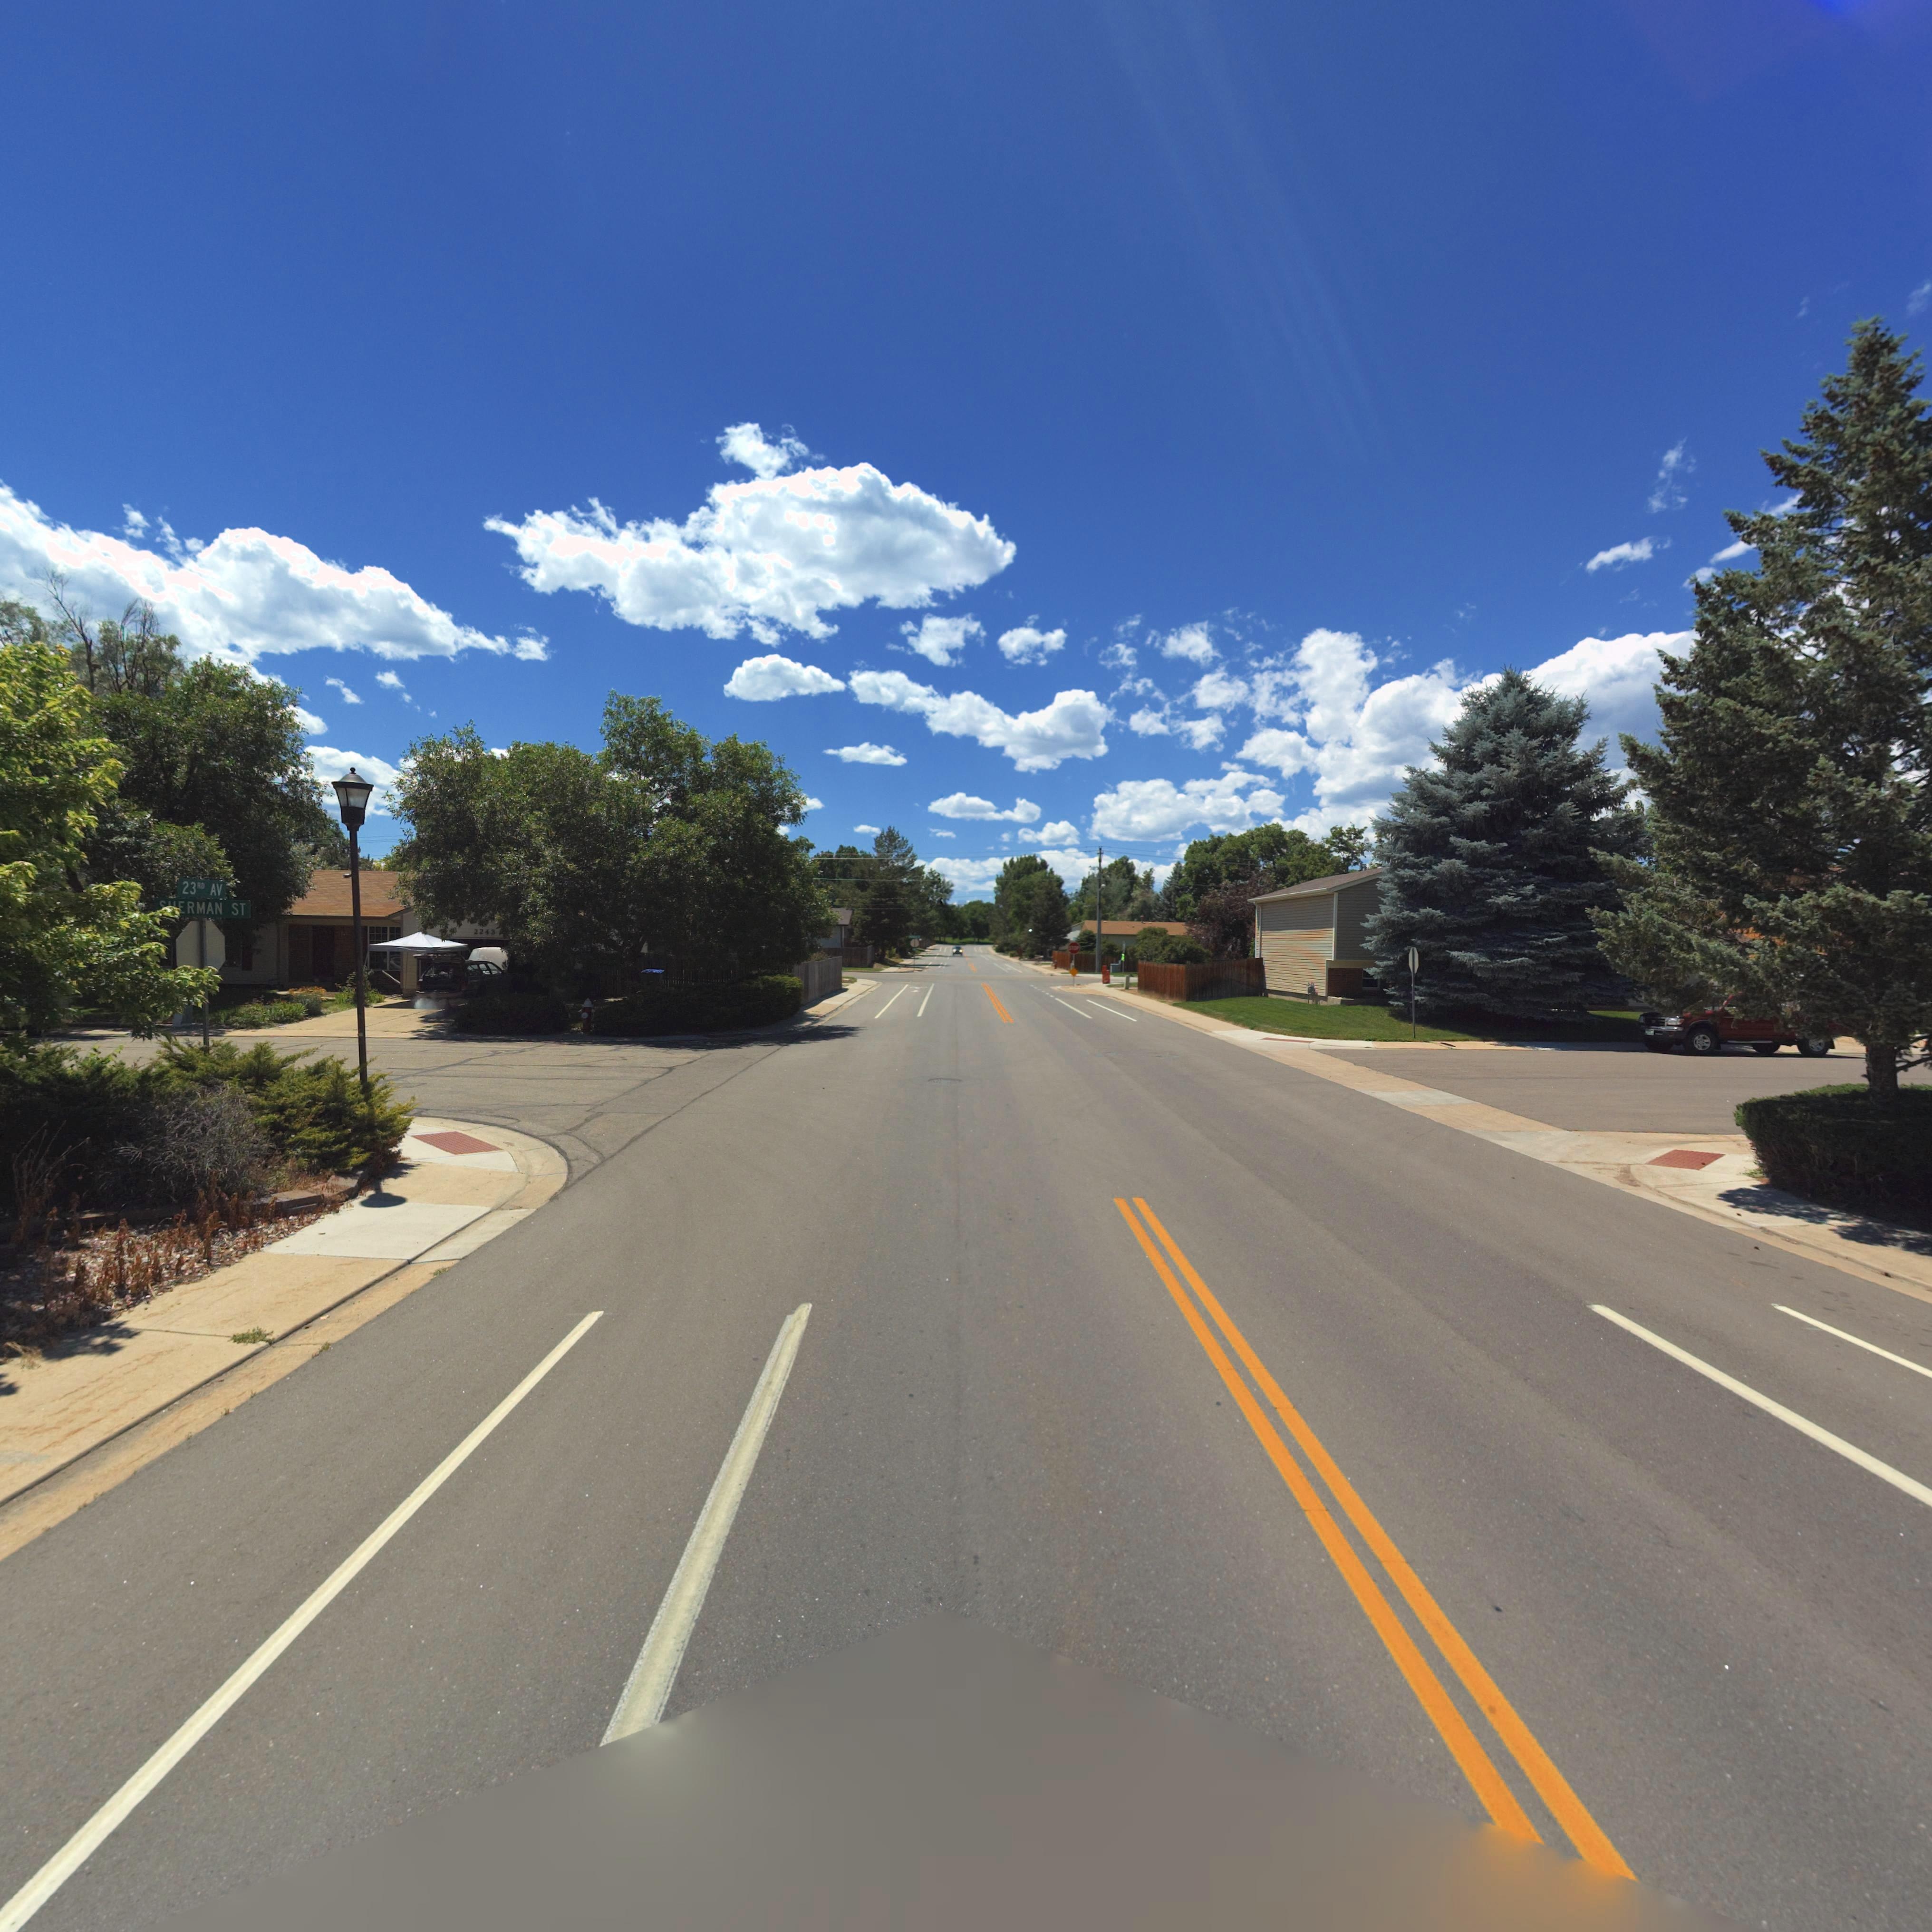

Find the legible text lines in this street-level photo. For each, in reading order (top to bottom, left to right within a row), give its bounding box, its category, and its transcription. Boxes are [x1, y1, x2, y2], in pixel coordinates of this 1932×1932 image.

[181, 880, 224, 896] StreetName: 23RD AV
[159, 900, 247, 916] StreetName: ***RMAN ST
[473, 928, 496, 936] StreetNumber: 2243